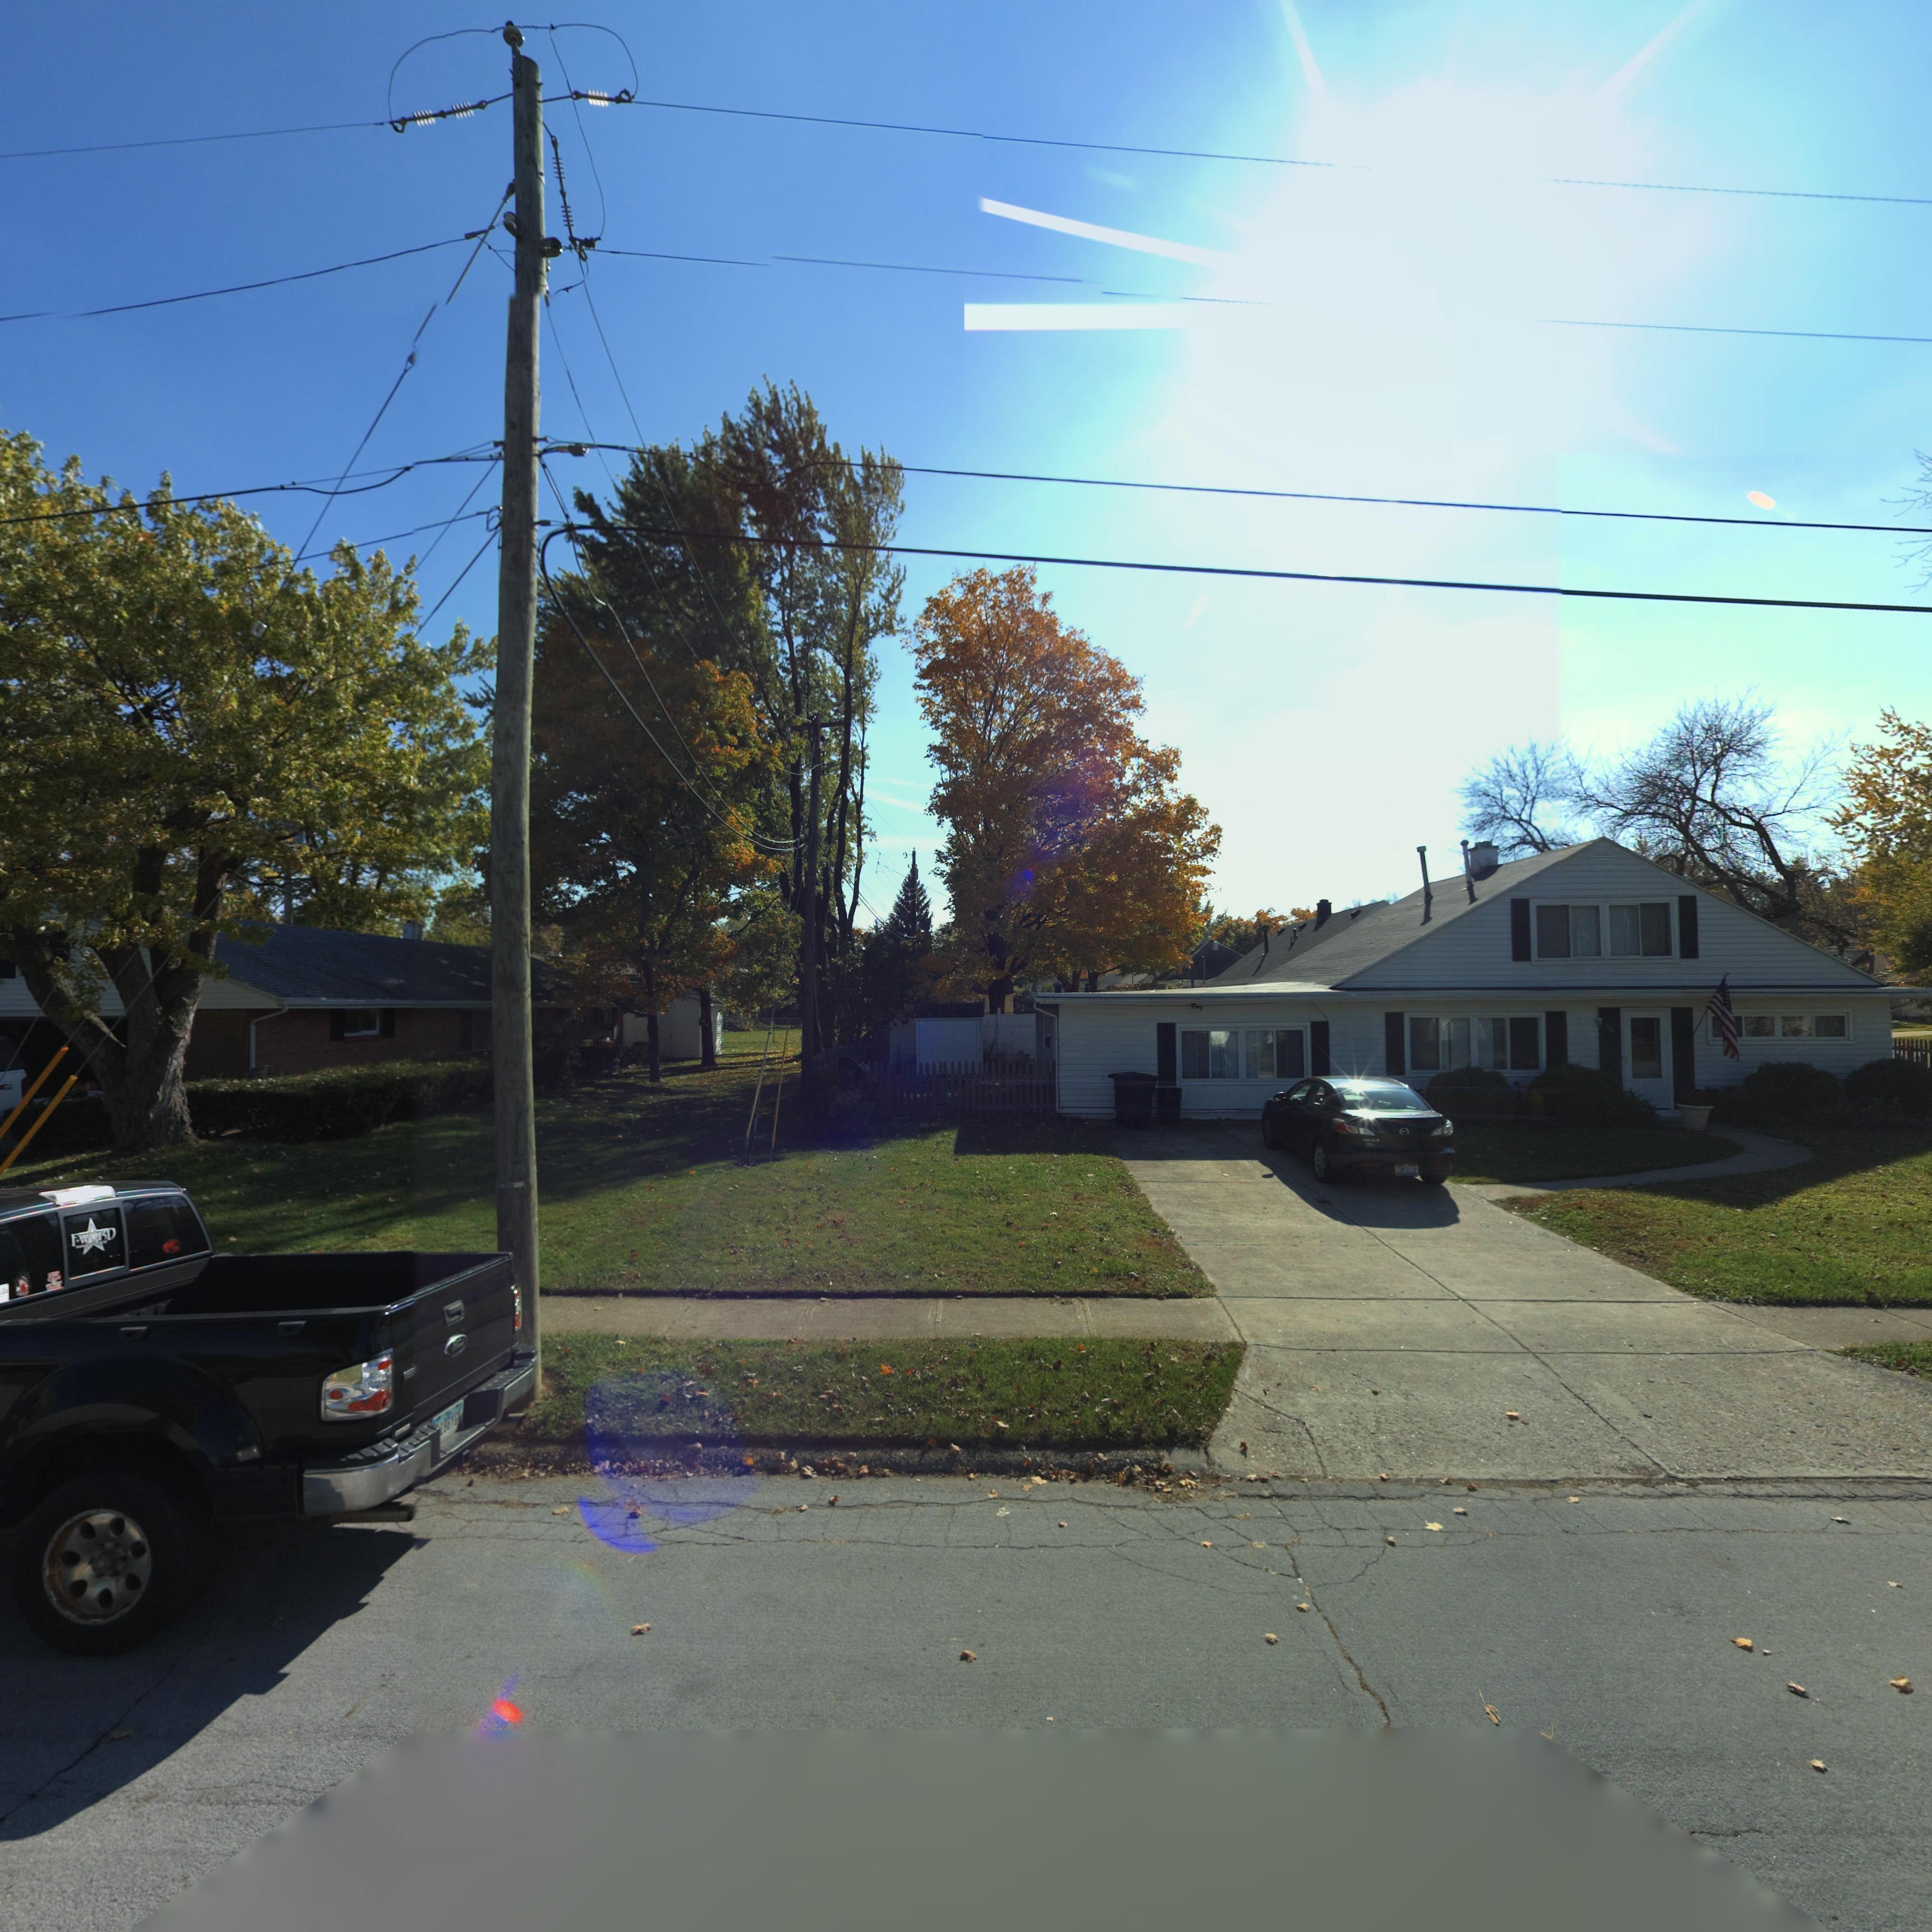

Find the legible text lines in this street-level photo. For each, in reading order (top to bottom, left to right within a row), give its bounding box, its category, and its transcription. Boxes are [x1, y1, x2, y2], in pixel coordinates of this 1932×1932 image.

[1395, 1166, 1418, 1174] None: E*M*613*
[439, 1410, 459, 1437] None: 19616